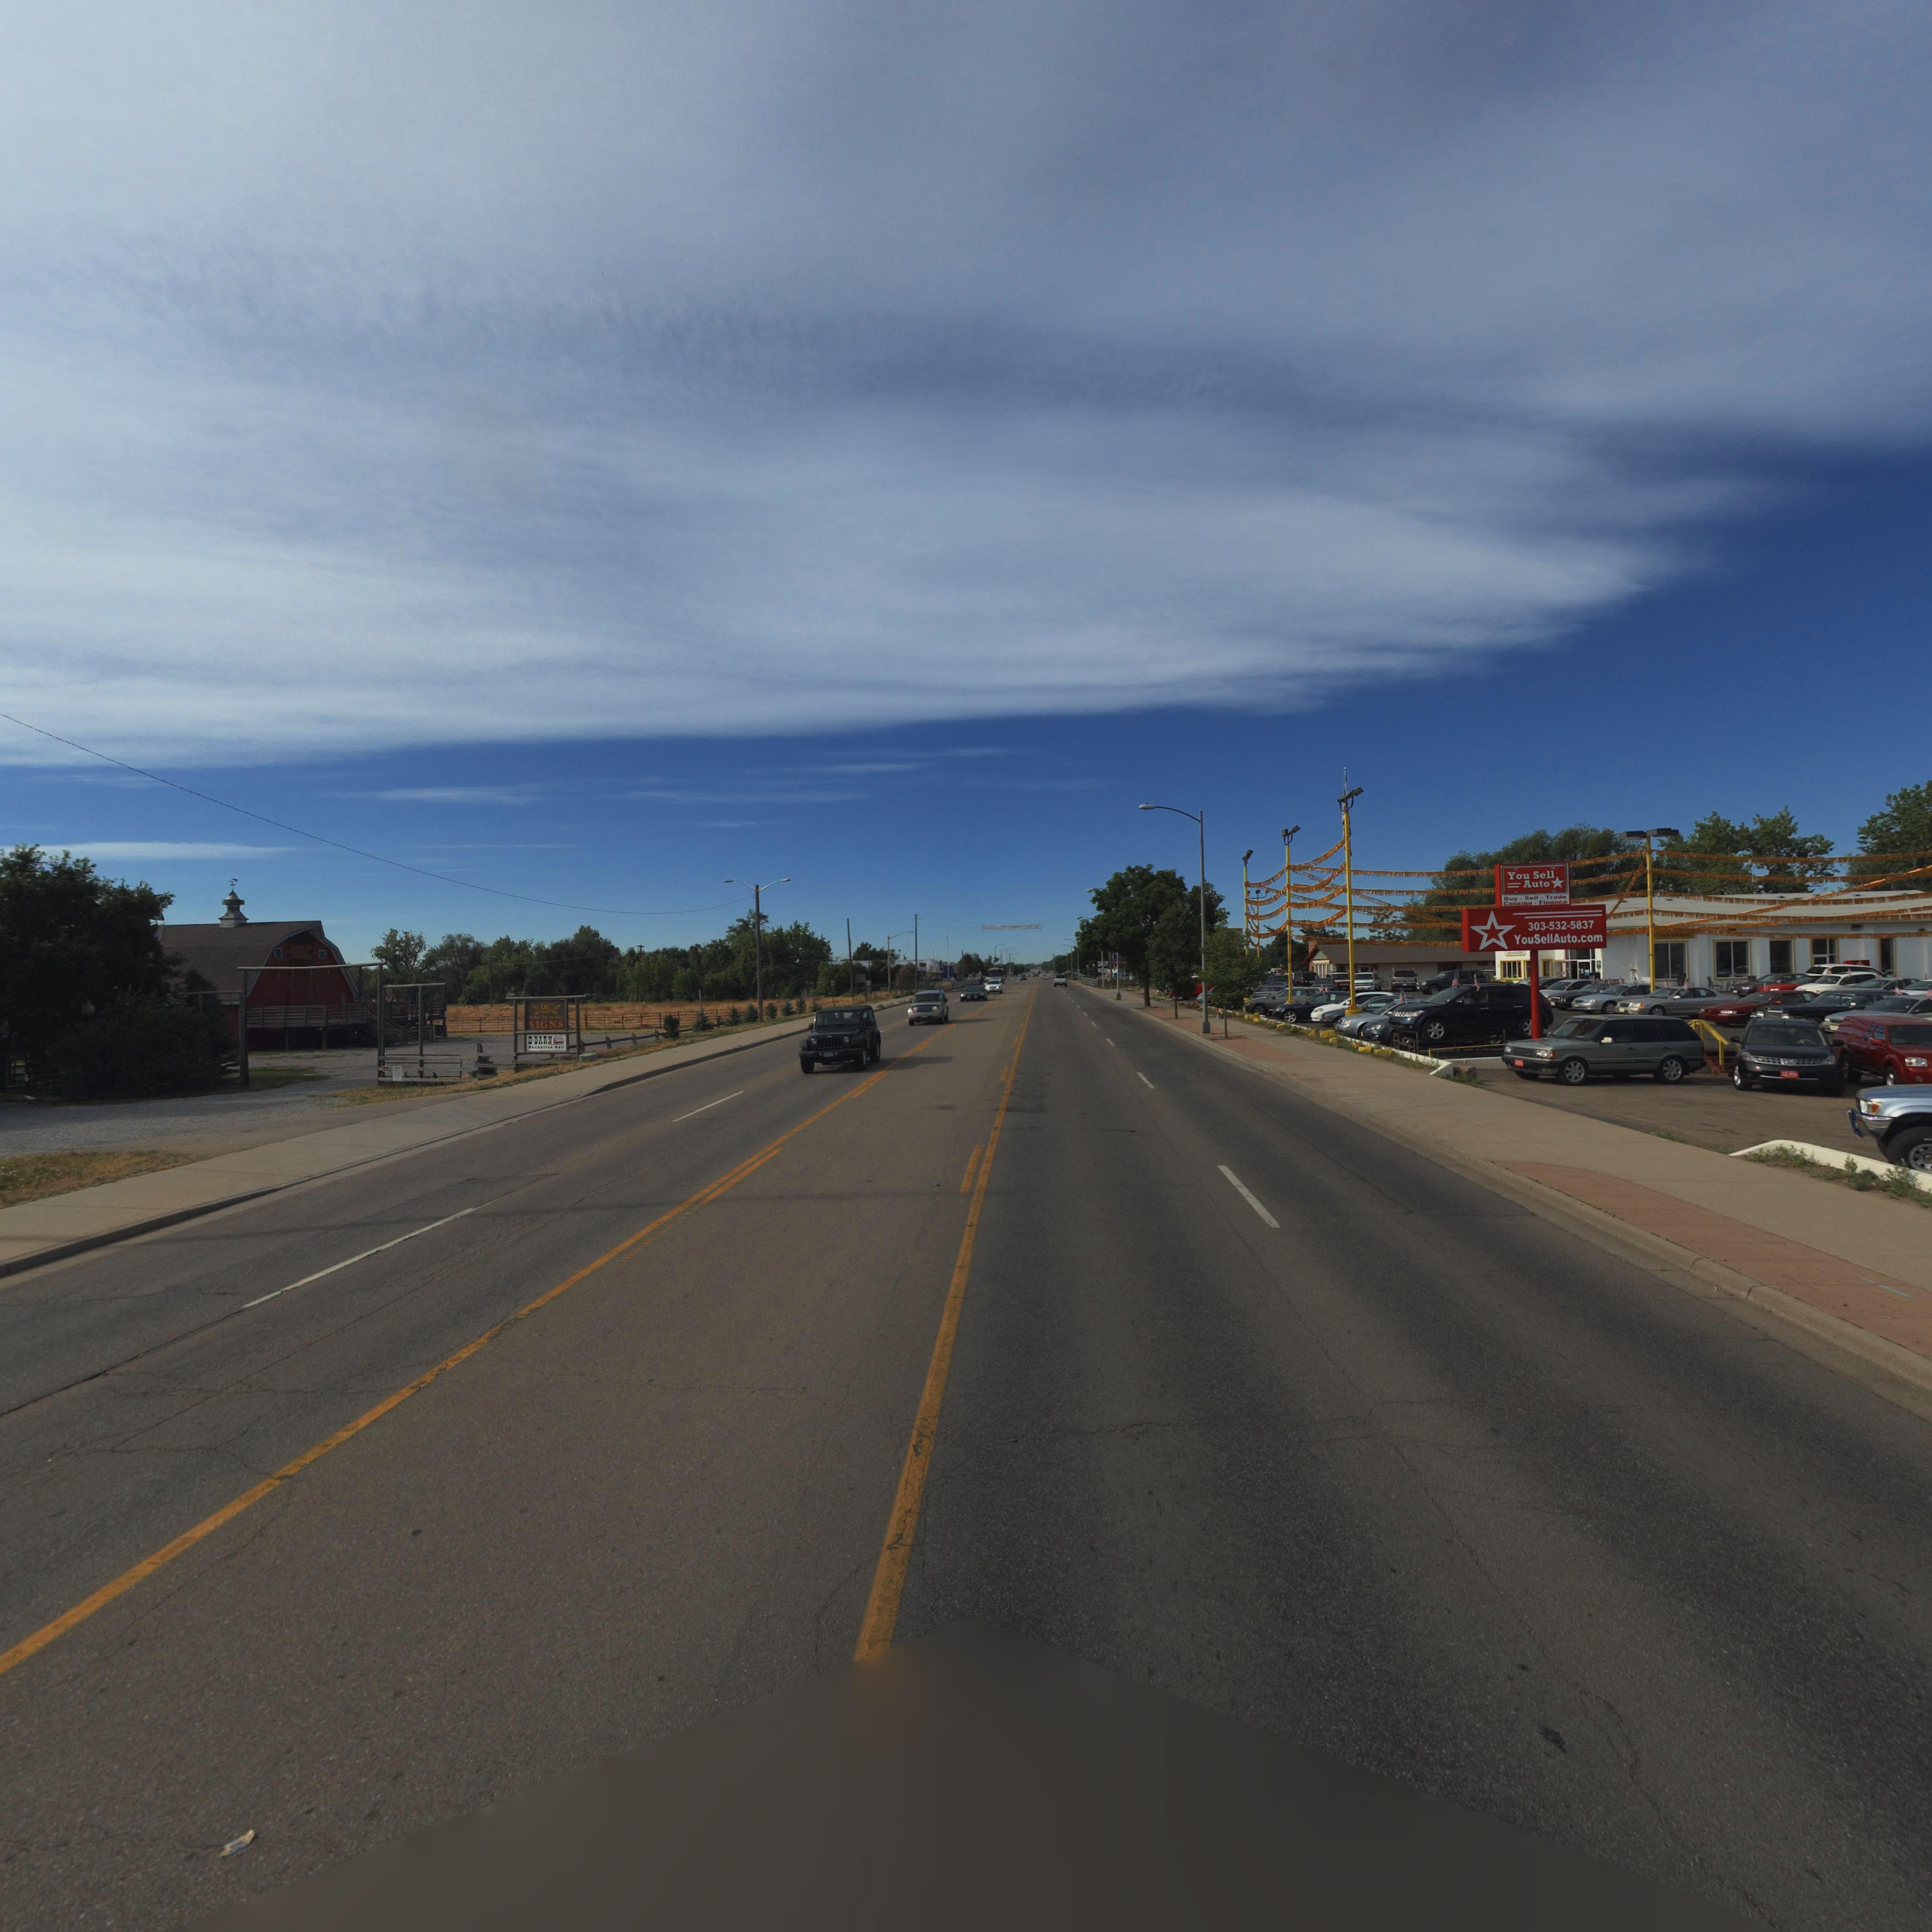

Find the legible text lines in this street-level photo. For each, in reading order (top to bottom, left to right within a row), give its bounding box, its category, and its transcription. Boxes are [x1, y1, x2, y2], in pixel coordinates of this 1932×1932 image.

[1507, 869, 1555, 879] BusinessName: You Sell
[1523, 880, 1550, 888] BusinessName: Auto
[528, 1035, 551, 1044] BusinessName: D-BARN
[528, 1045, 564, 1049] BusinessName: ****ption **ll